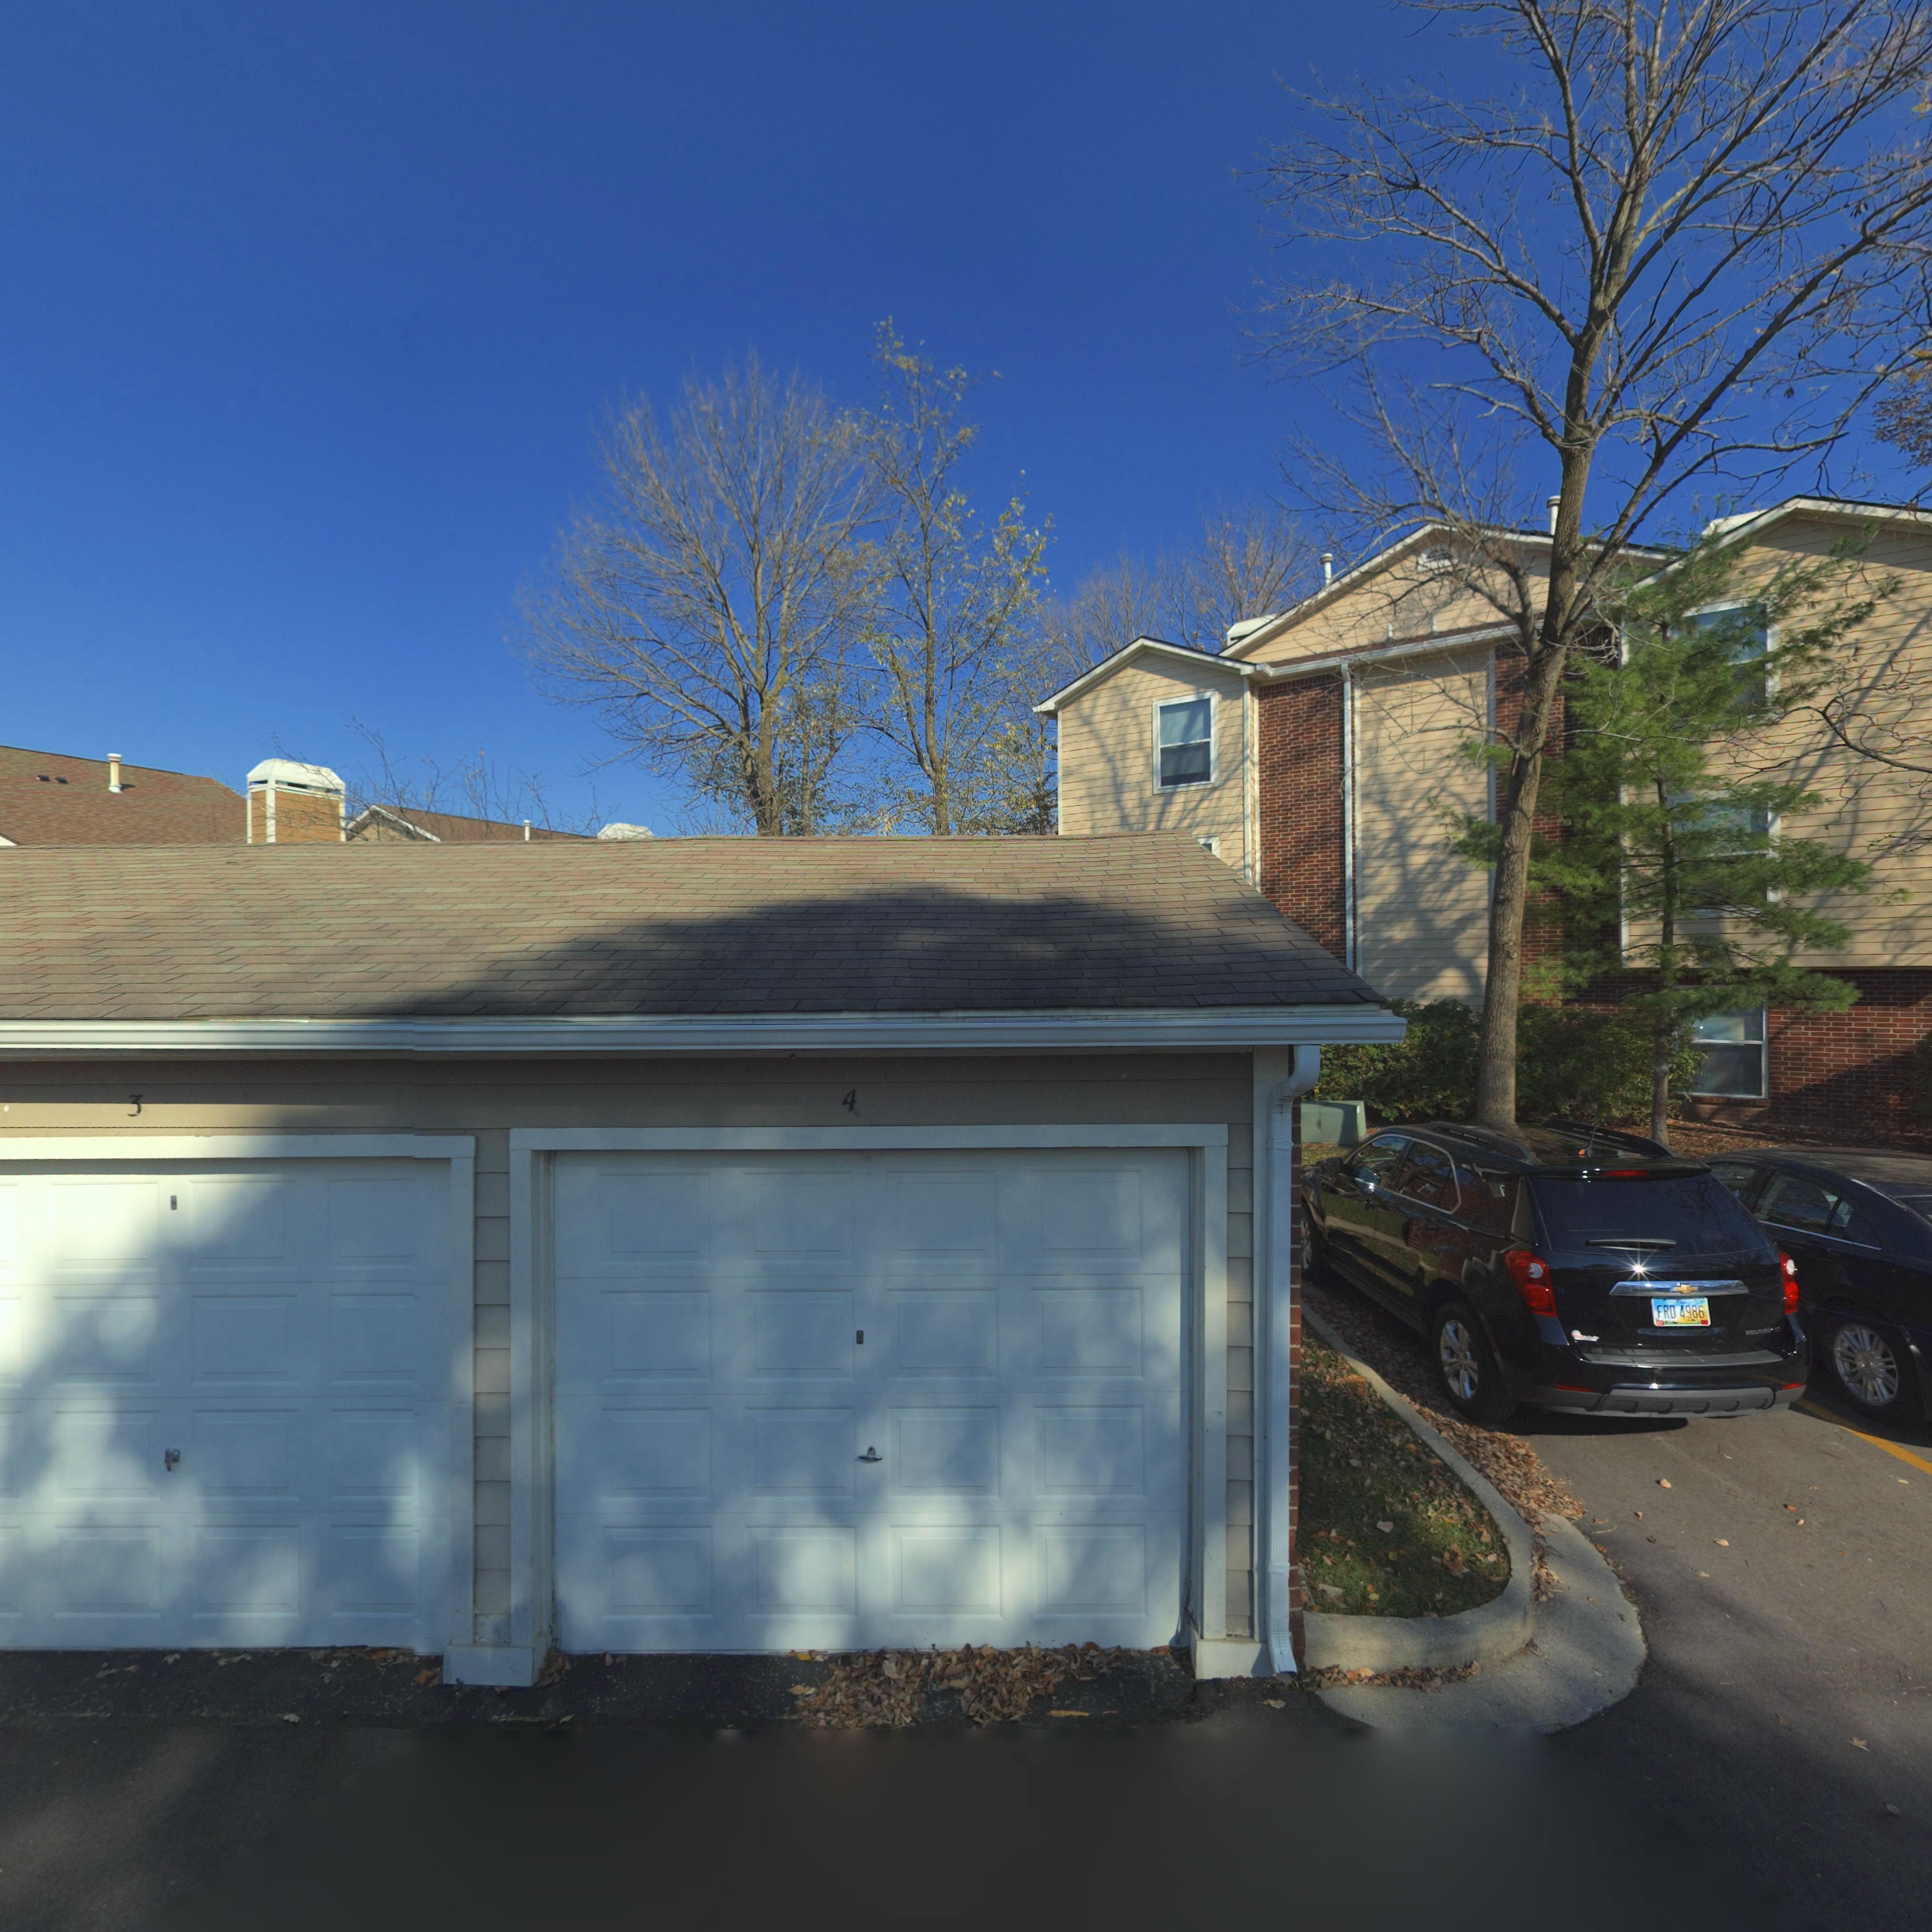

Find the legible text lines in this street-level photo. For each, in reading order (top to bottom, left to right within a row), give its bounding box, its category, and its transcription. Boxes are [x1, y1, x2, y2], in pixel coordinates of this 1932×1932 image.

[126, 1093, 145, 1120] StreetNumber: 3
[841, 1087, 858, 1113] StreetNumber: 4
[1655, 1304, 1705, 1320] None: FRD 4986